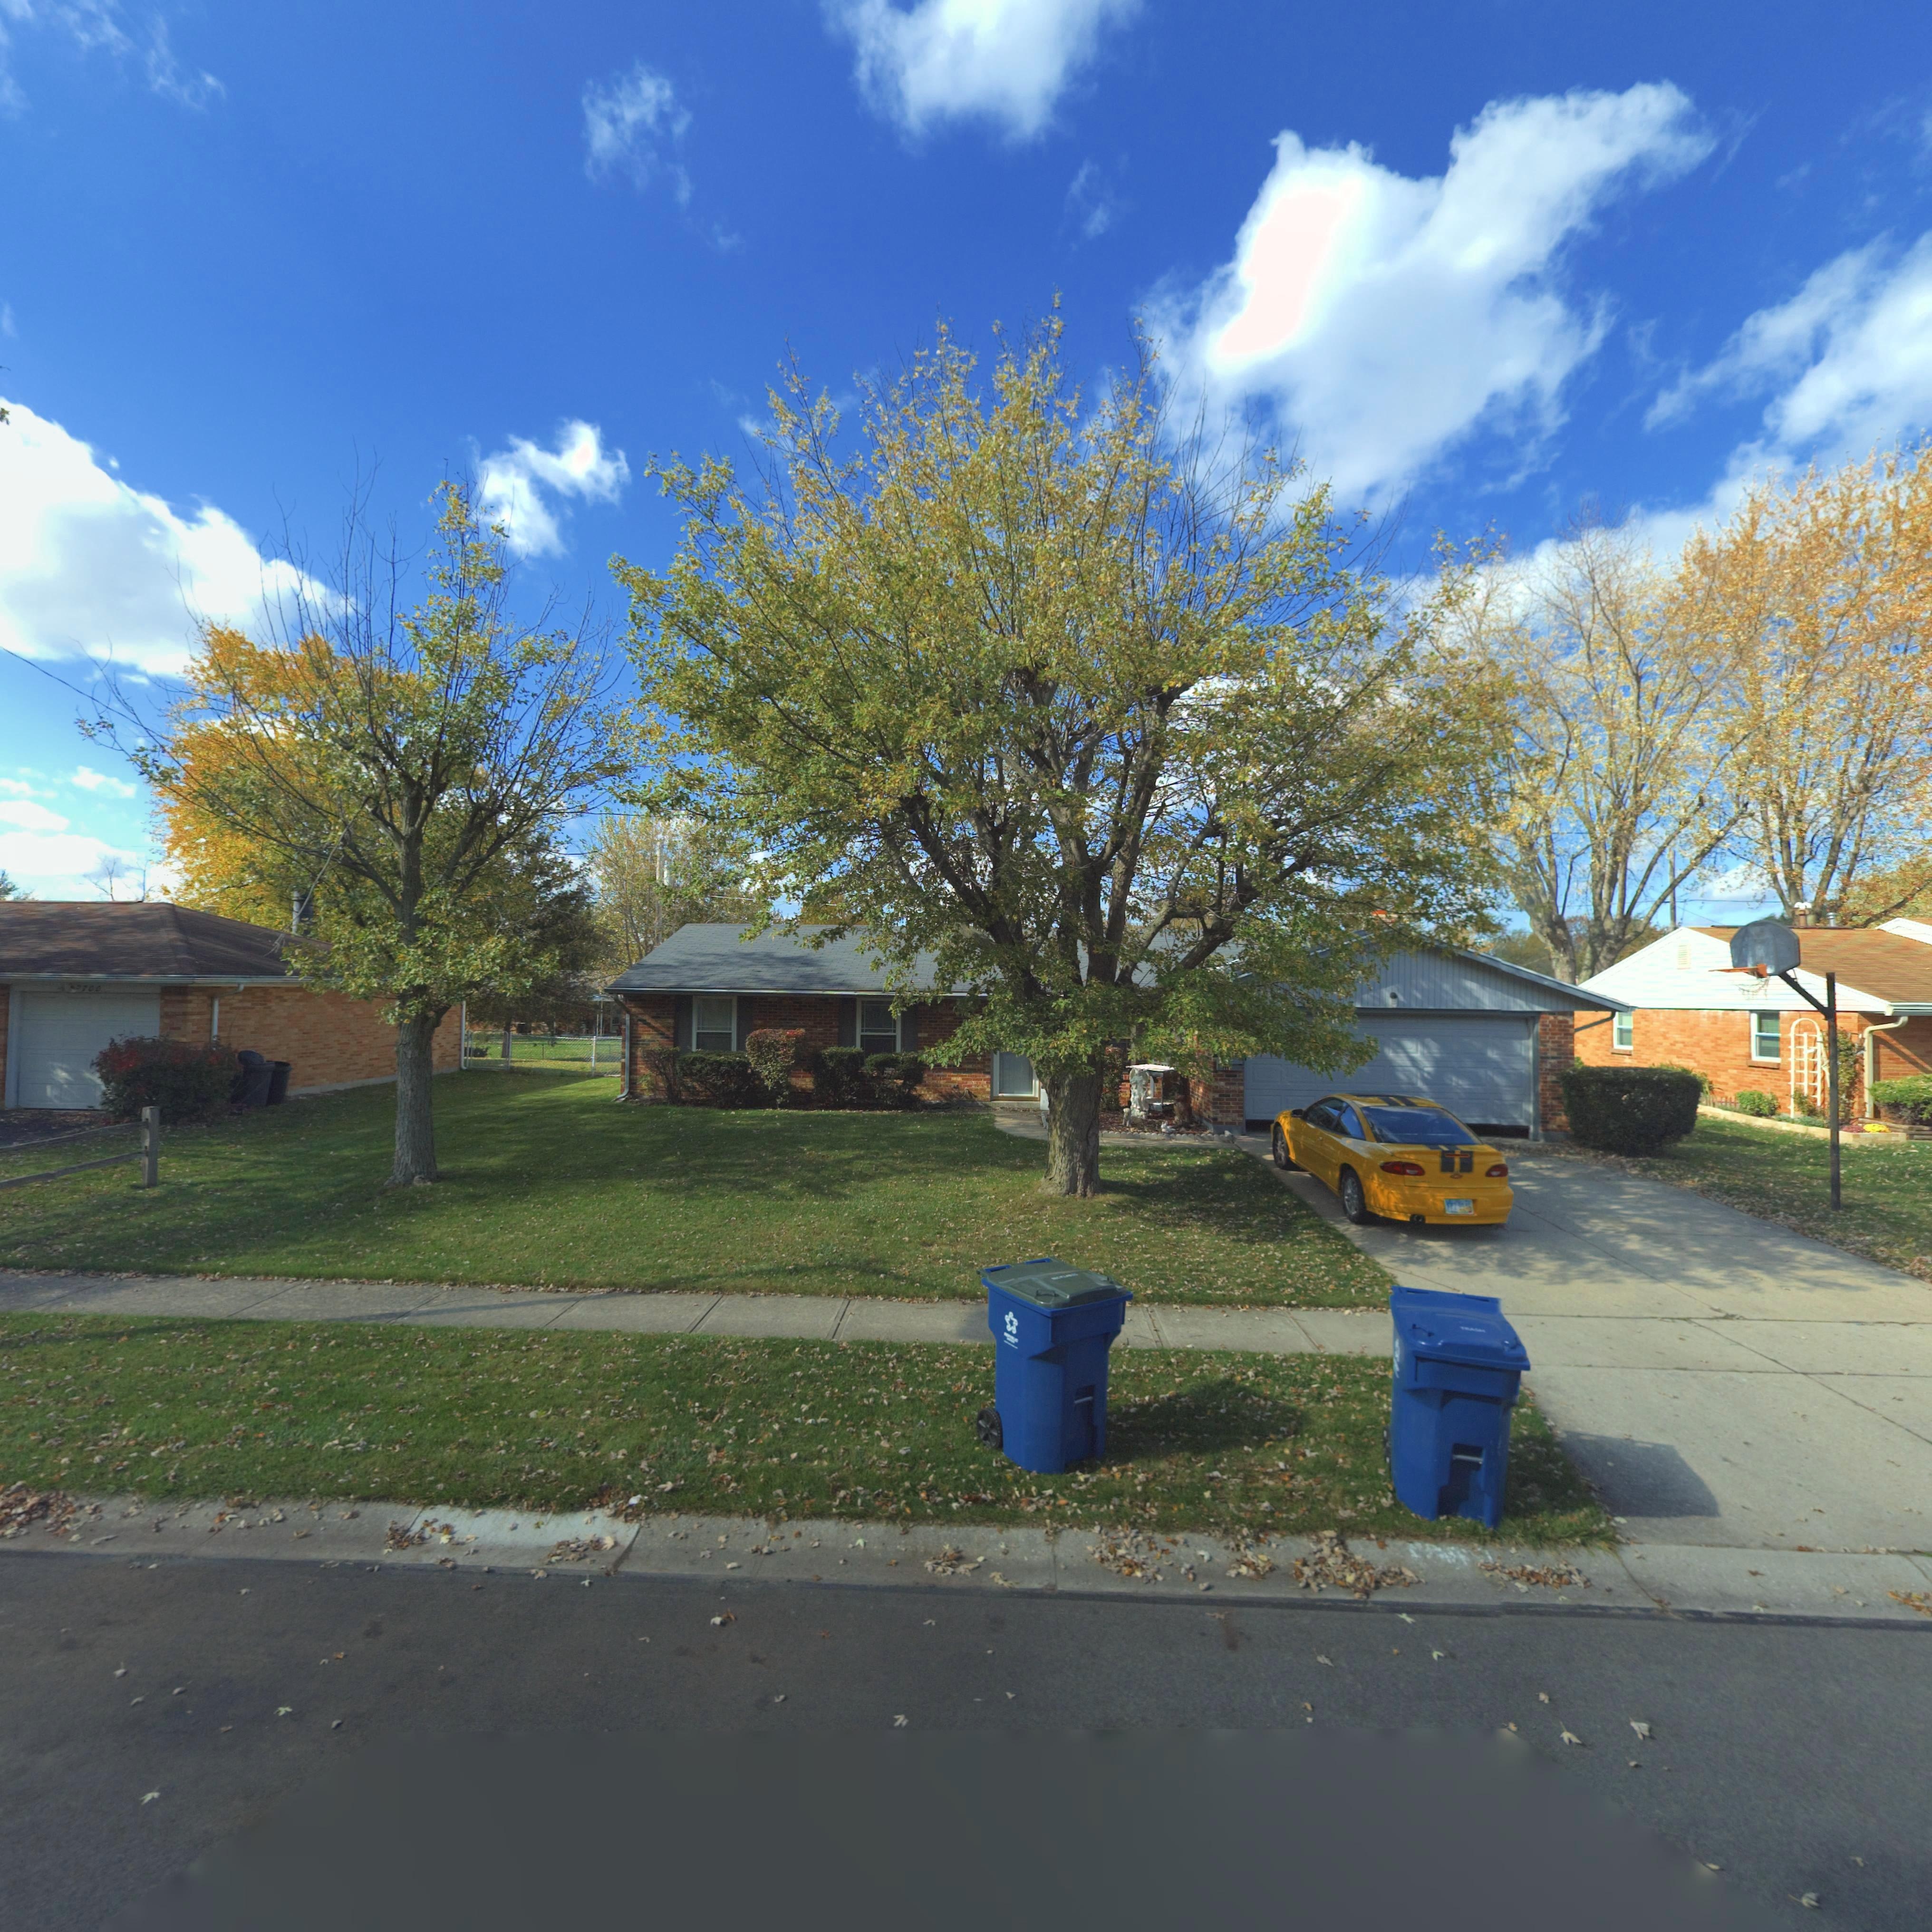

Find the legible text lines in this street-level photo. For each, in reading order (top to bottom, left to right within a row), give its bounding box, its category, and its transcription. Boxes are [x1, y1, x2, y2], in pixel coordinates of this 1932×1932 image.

[81, 984, 102, 993] StreetNumber: 700